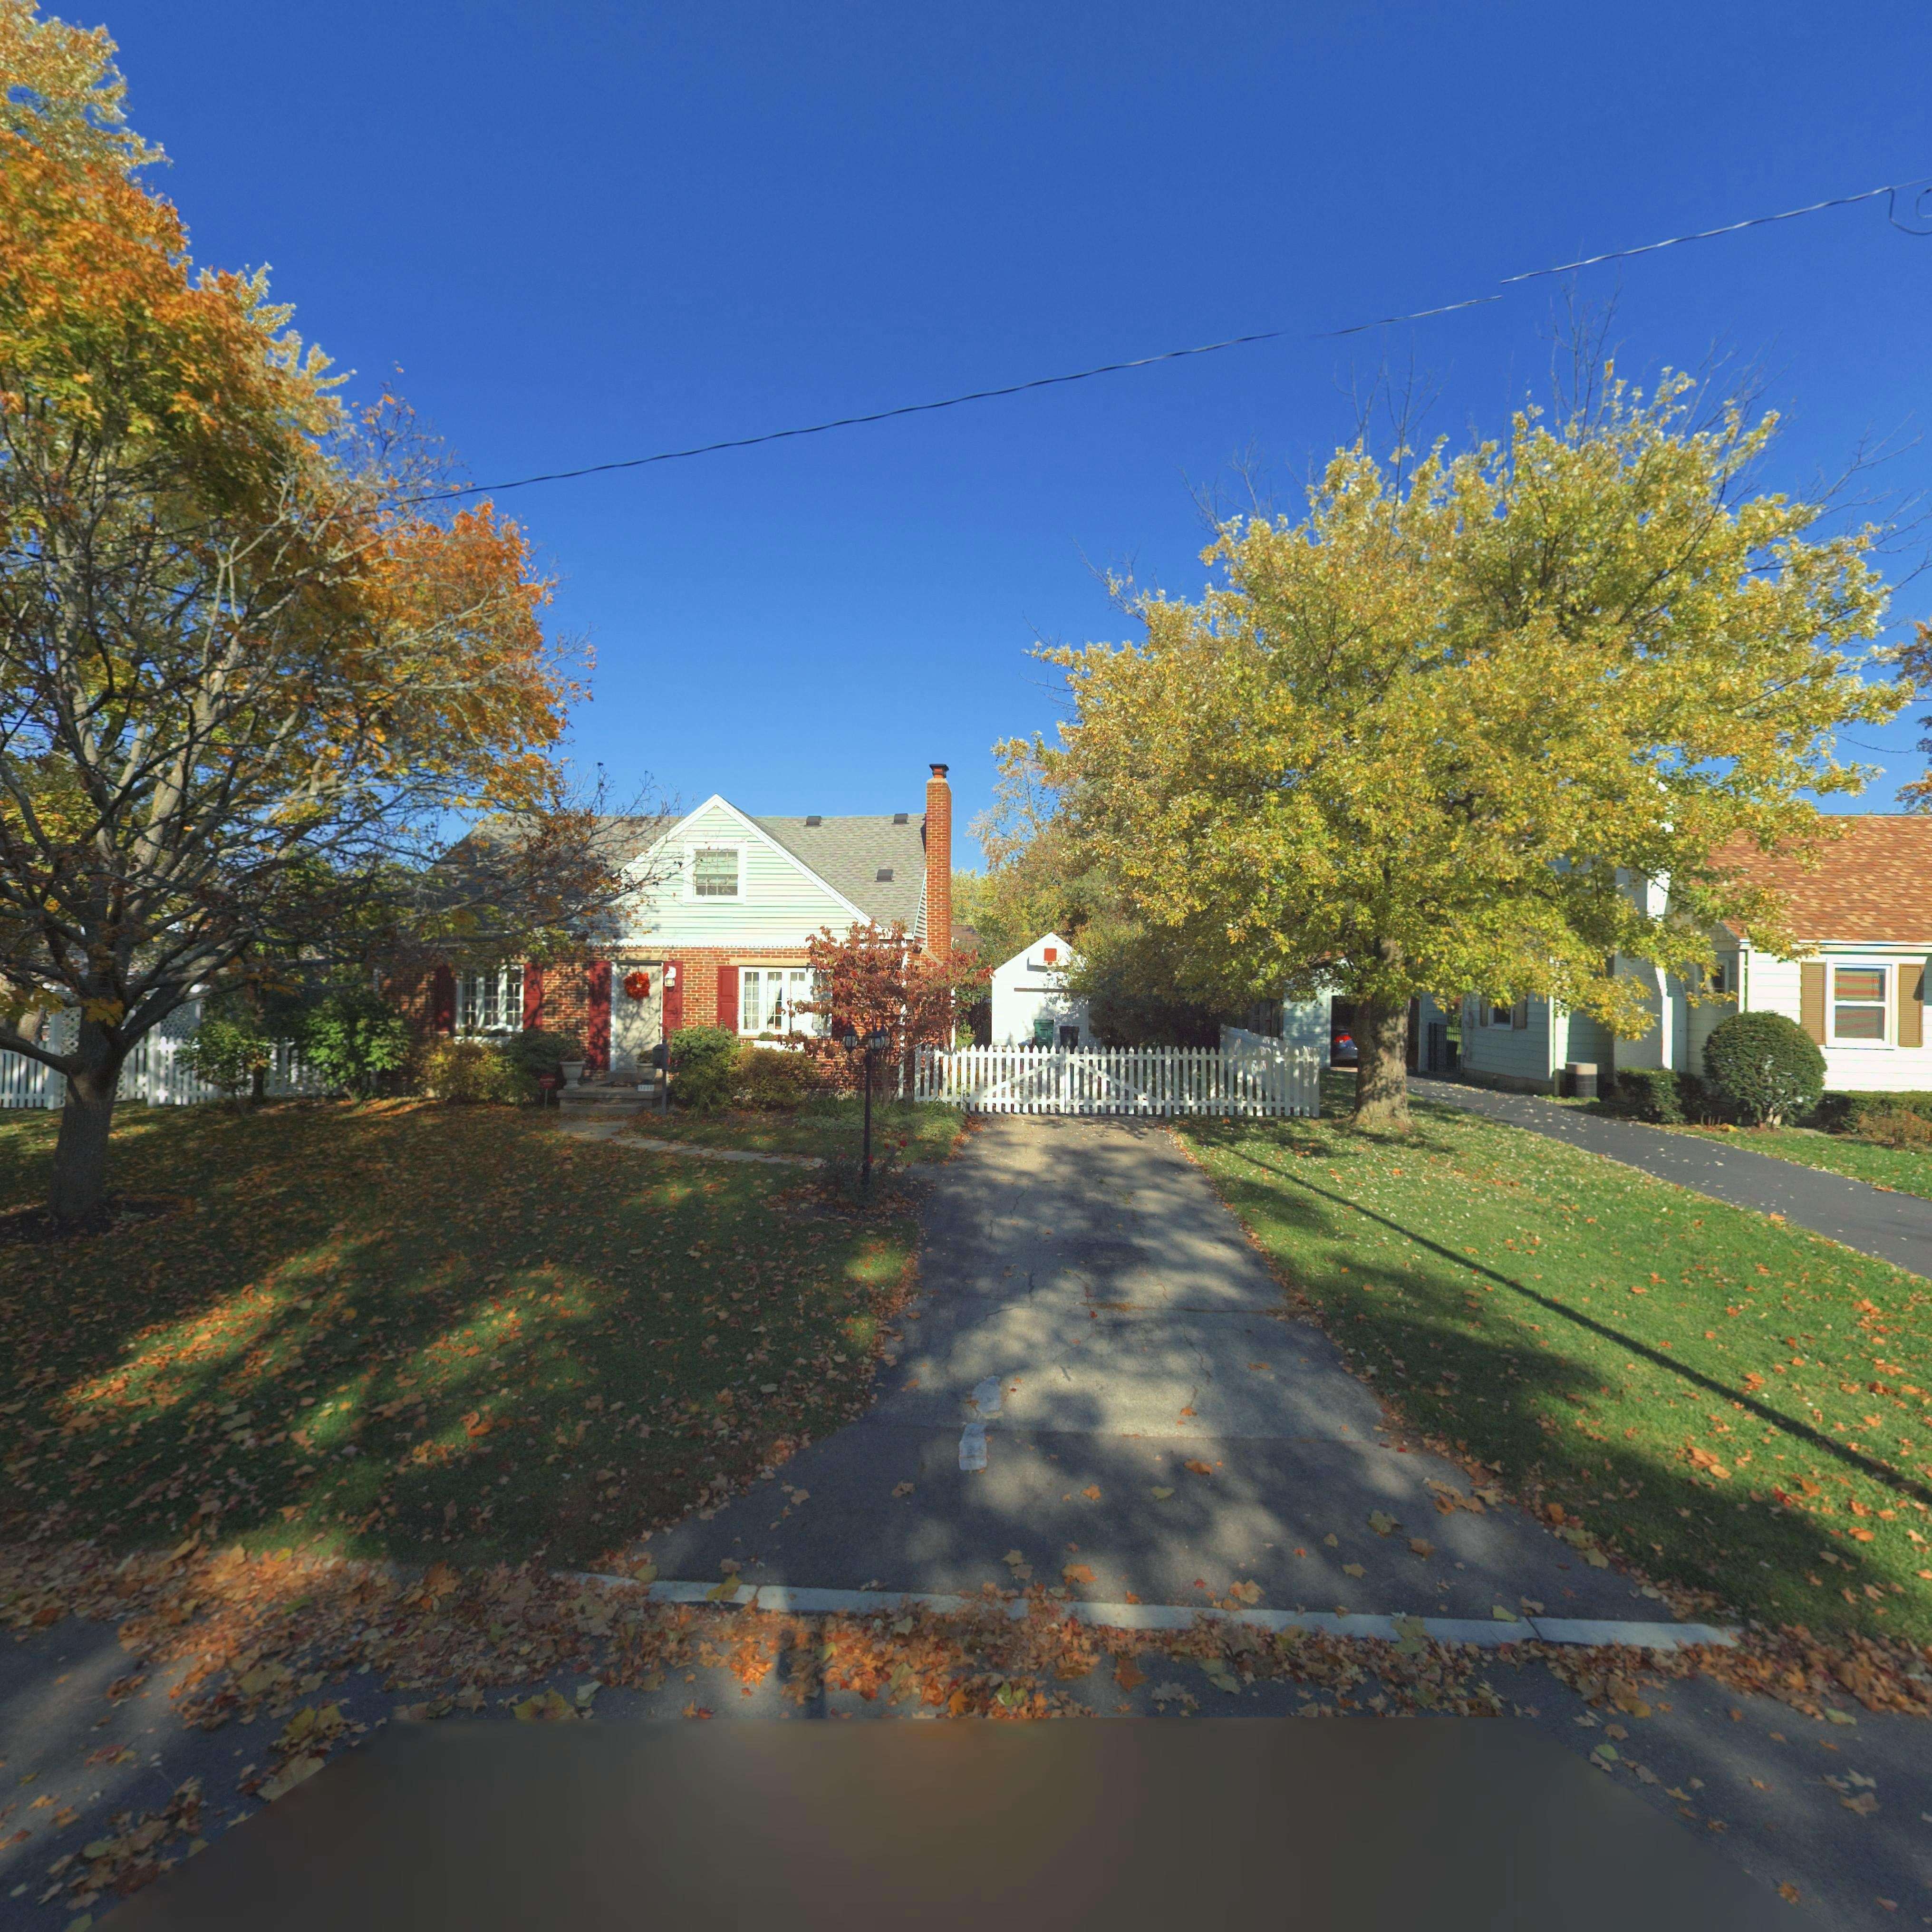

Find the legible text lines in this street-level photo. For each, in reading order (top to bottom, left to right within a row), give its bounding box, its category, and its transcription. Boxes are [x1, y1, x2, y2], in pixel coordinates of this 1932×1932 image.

[640, 1085, 653, 1091] StreetNumber: **0*